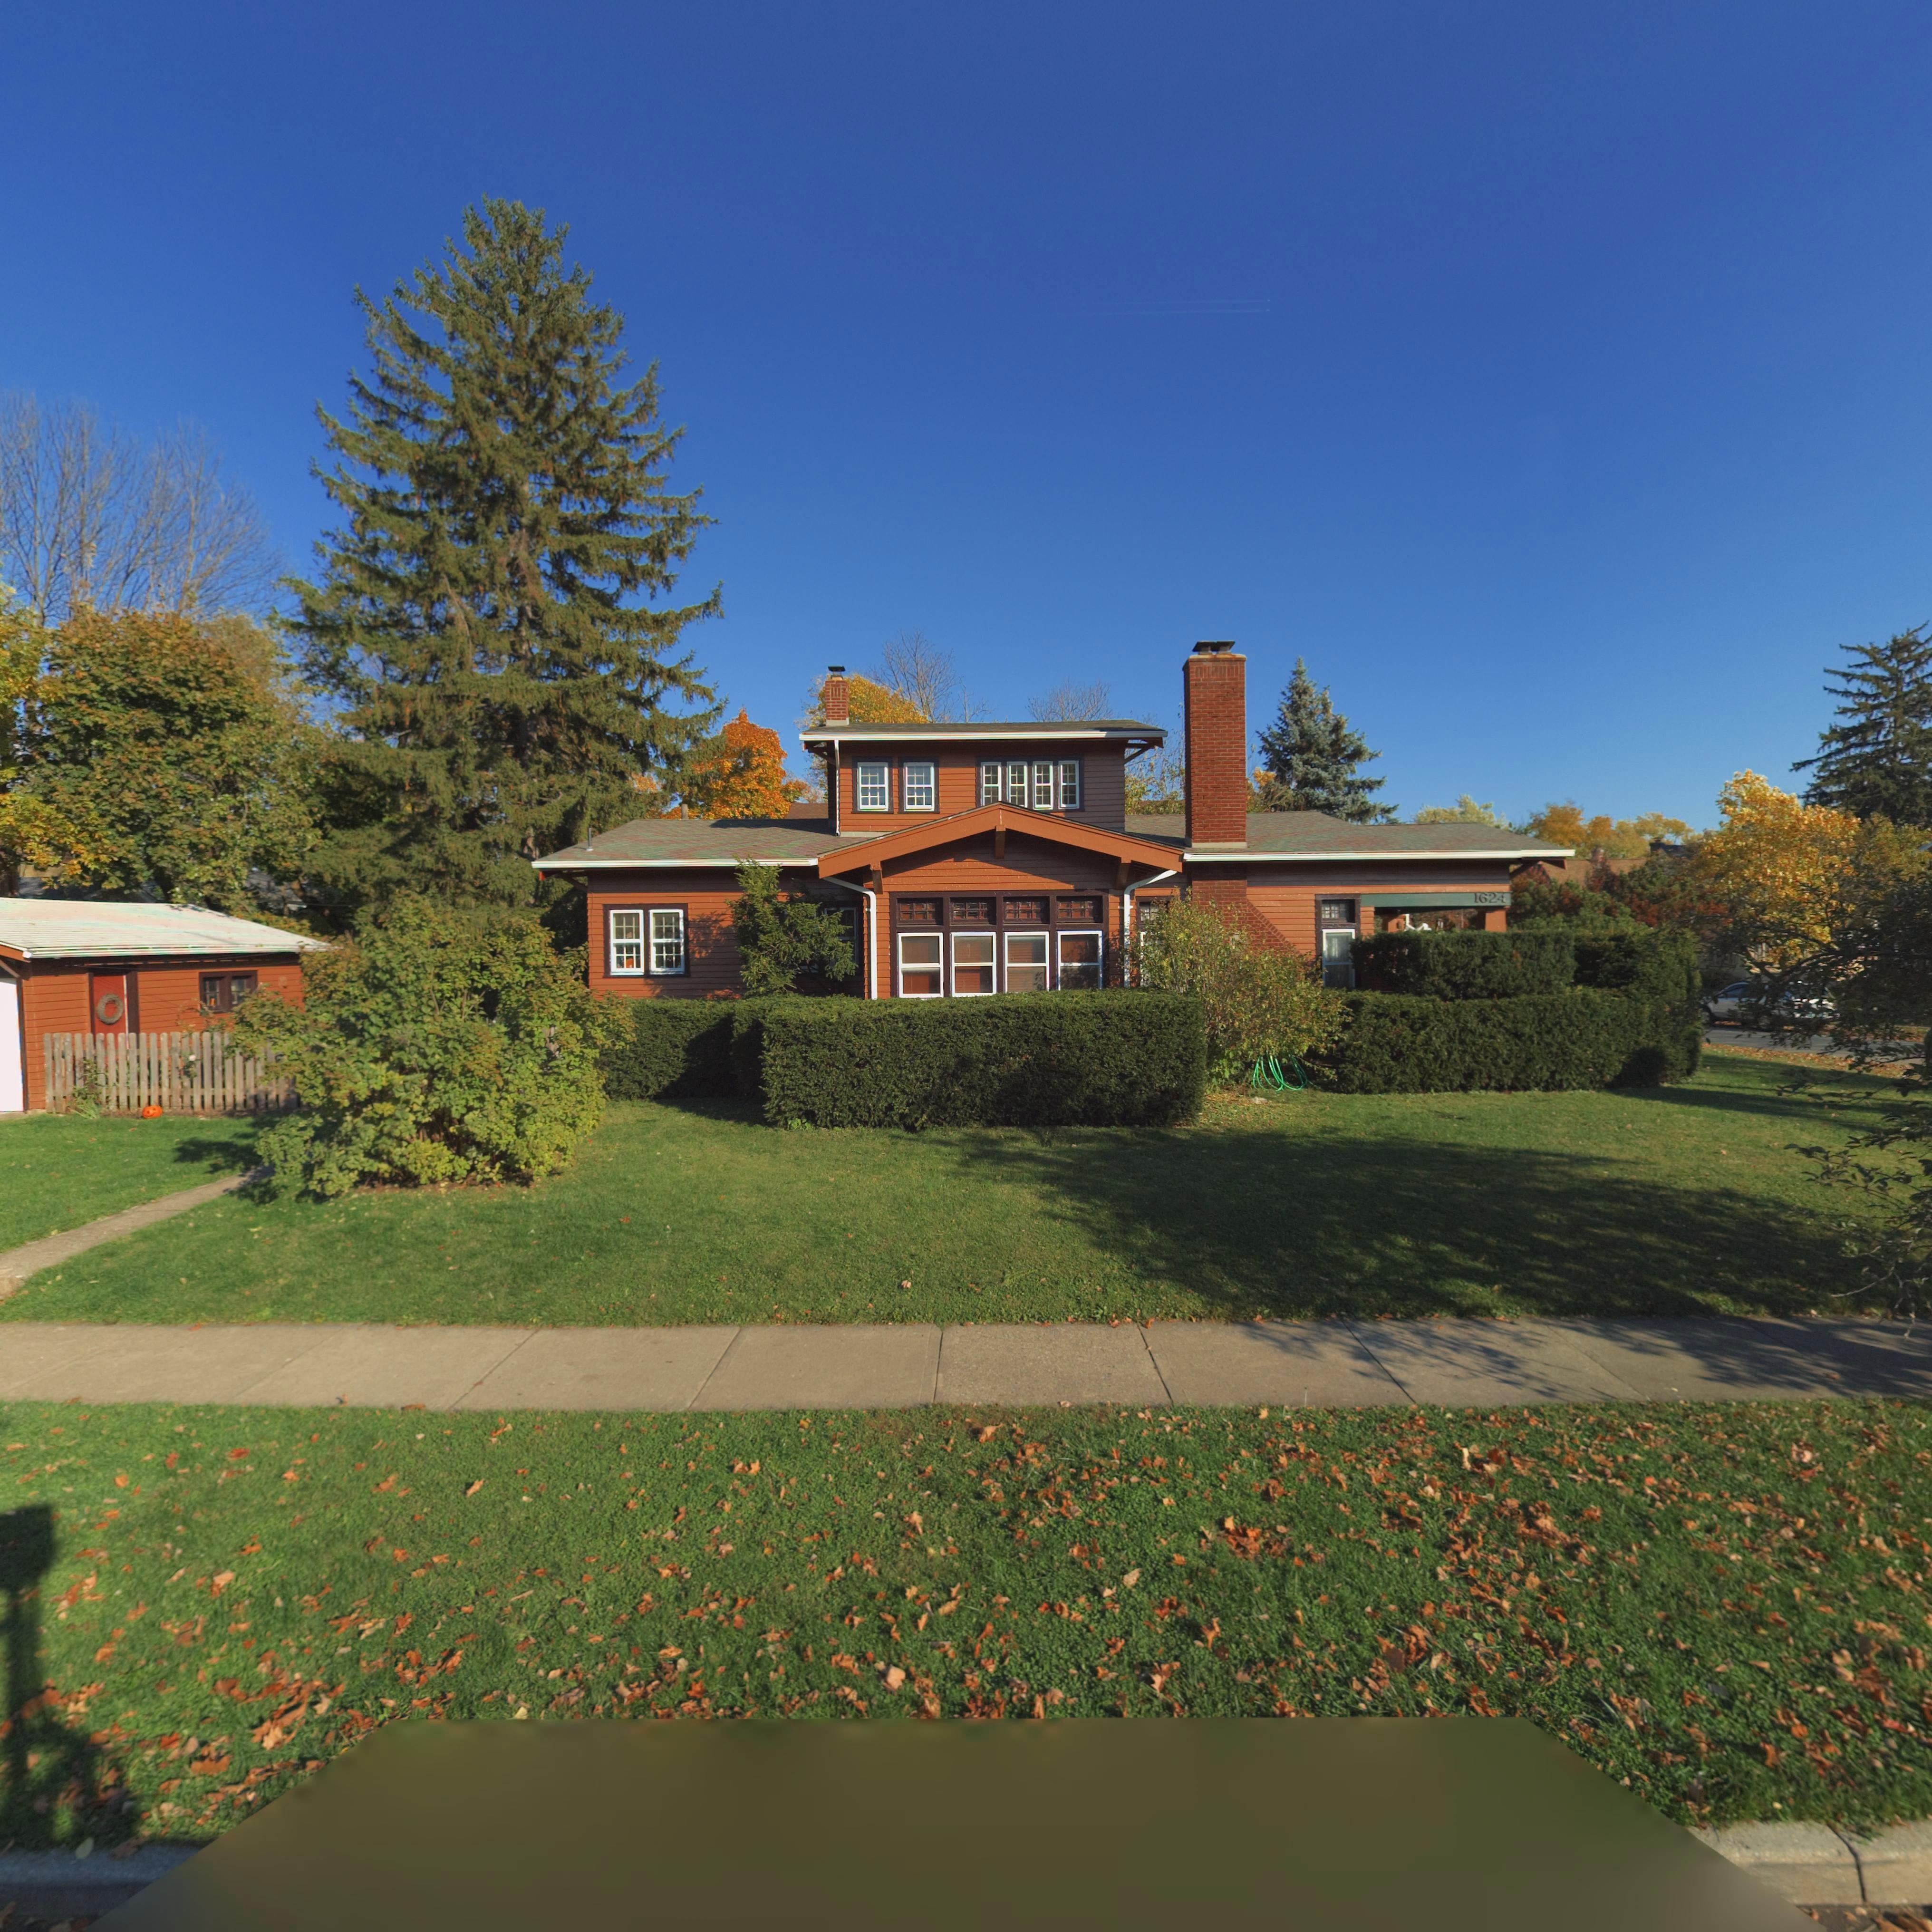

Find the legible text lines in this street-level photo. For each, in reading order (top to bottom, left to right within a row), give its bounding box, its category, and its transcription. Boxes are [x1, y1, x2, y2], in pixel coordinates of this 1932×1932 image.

[1473, 891, 1506, 903] StreetNumber: 1624